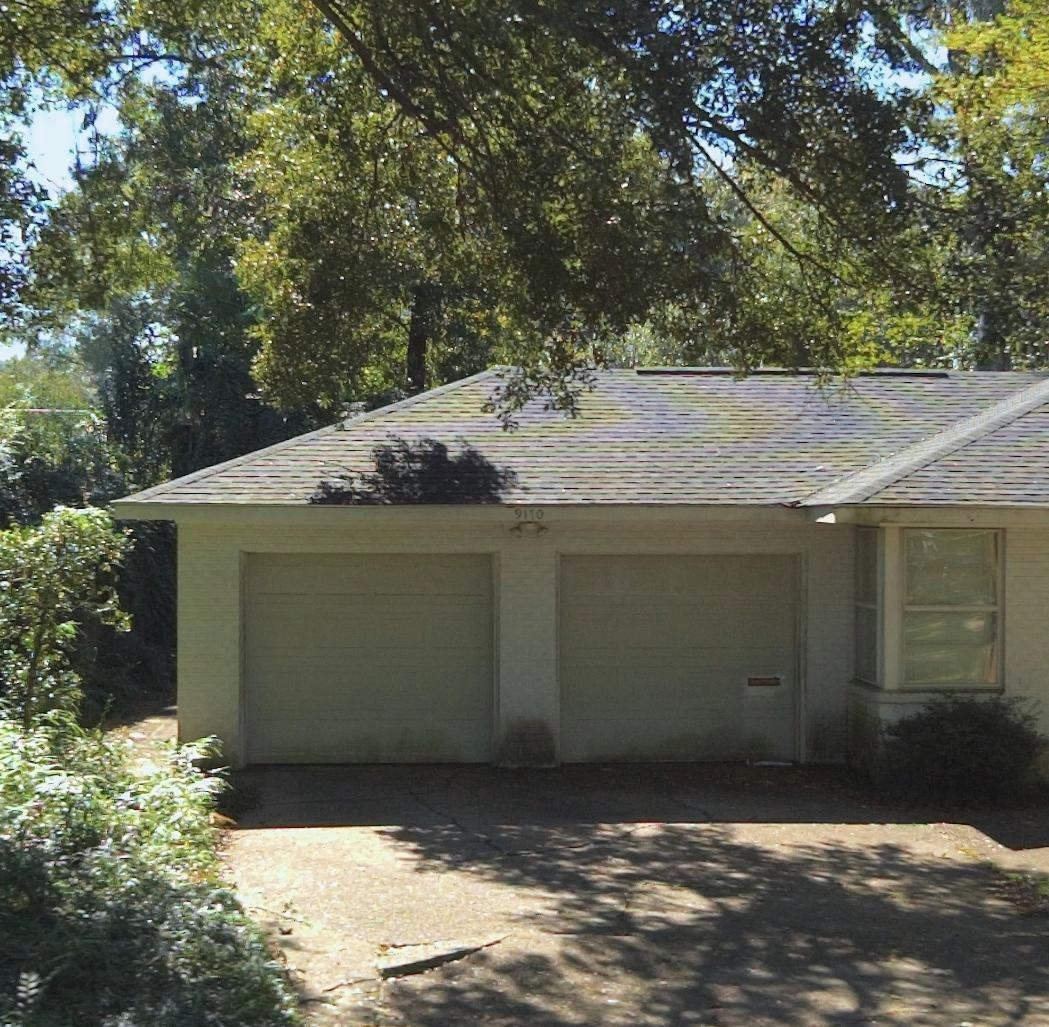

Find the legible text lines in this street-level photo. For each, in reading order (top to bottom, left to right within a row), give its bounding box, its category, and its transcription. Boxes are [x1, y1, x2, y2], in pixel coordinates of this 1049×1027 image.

[513, 506, 546, 522] StreetNumber: 9170